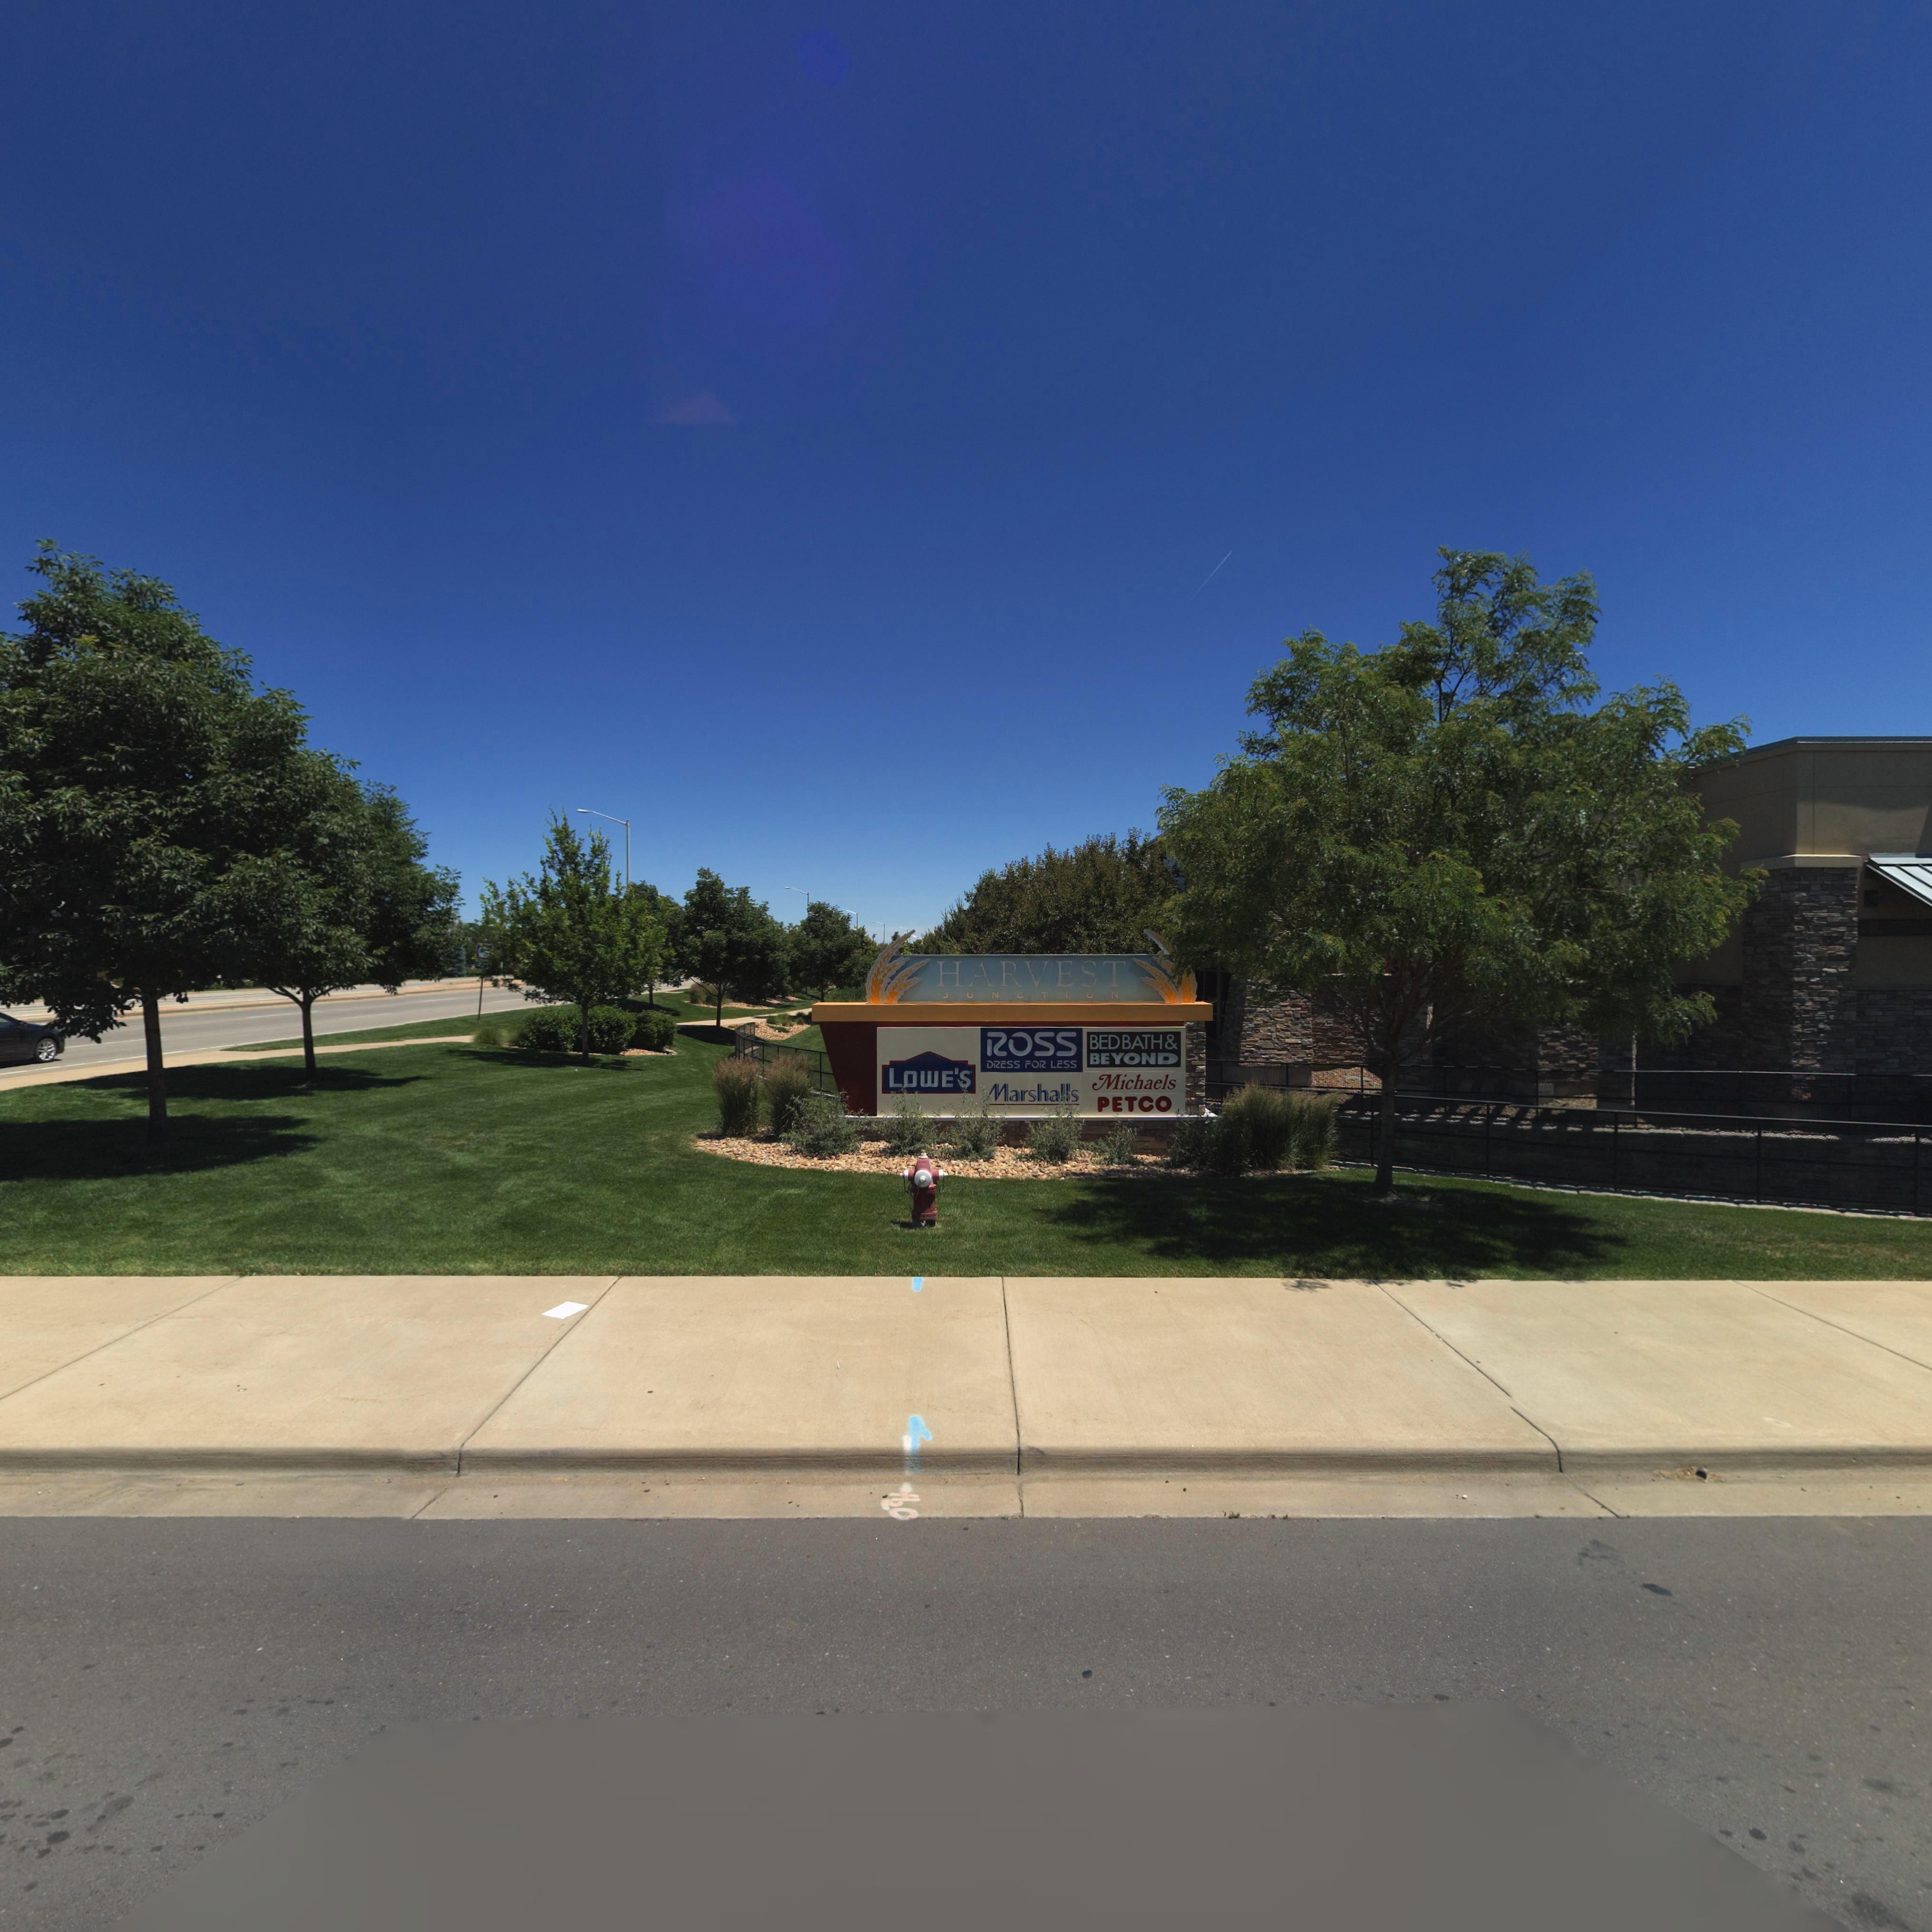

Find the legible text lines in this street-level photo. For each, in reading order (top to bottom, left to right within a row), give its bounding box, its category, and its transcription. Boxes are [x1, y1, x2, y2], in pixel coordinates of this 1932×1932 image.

[937, 960, 1127, 988] BusinessName: HARVEST
[942, 991, 1119, 999] BusinessName: JUNCTION
[985, 1031, 1078, 1057] BusinessName: ROSS
[1089, 1034, 1178, 1050] BusinessName: BEDBATH&
[986, 1060, 1077, 1069] BusinessName: DRESS FOR LESS
[1089, 1052, 1179, 1065] BusinessName: BEYOND
[889, 1067, 972, 1089] BusinessName: LOWE'S
[1091, 1073, 1177, 1091] BusinessName: Michaels
[981, 1082, 1080, 1103] BusinessName: Marshalls
[1097, 1095, 1173, 1113] BusinessName: PETCO